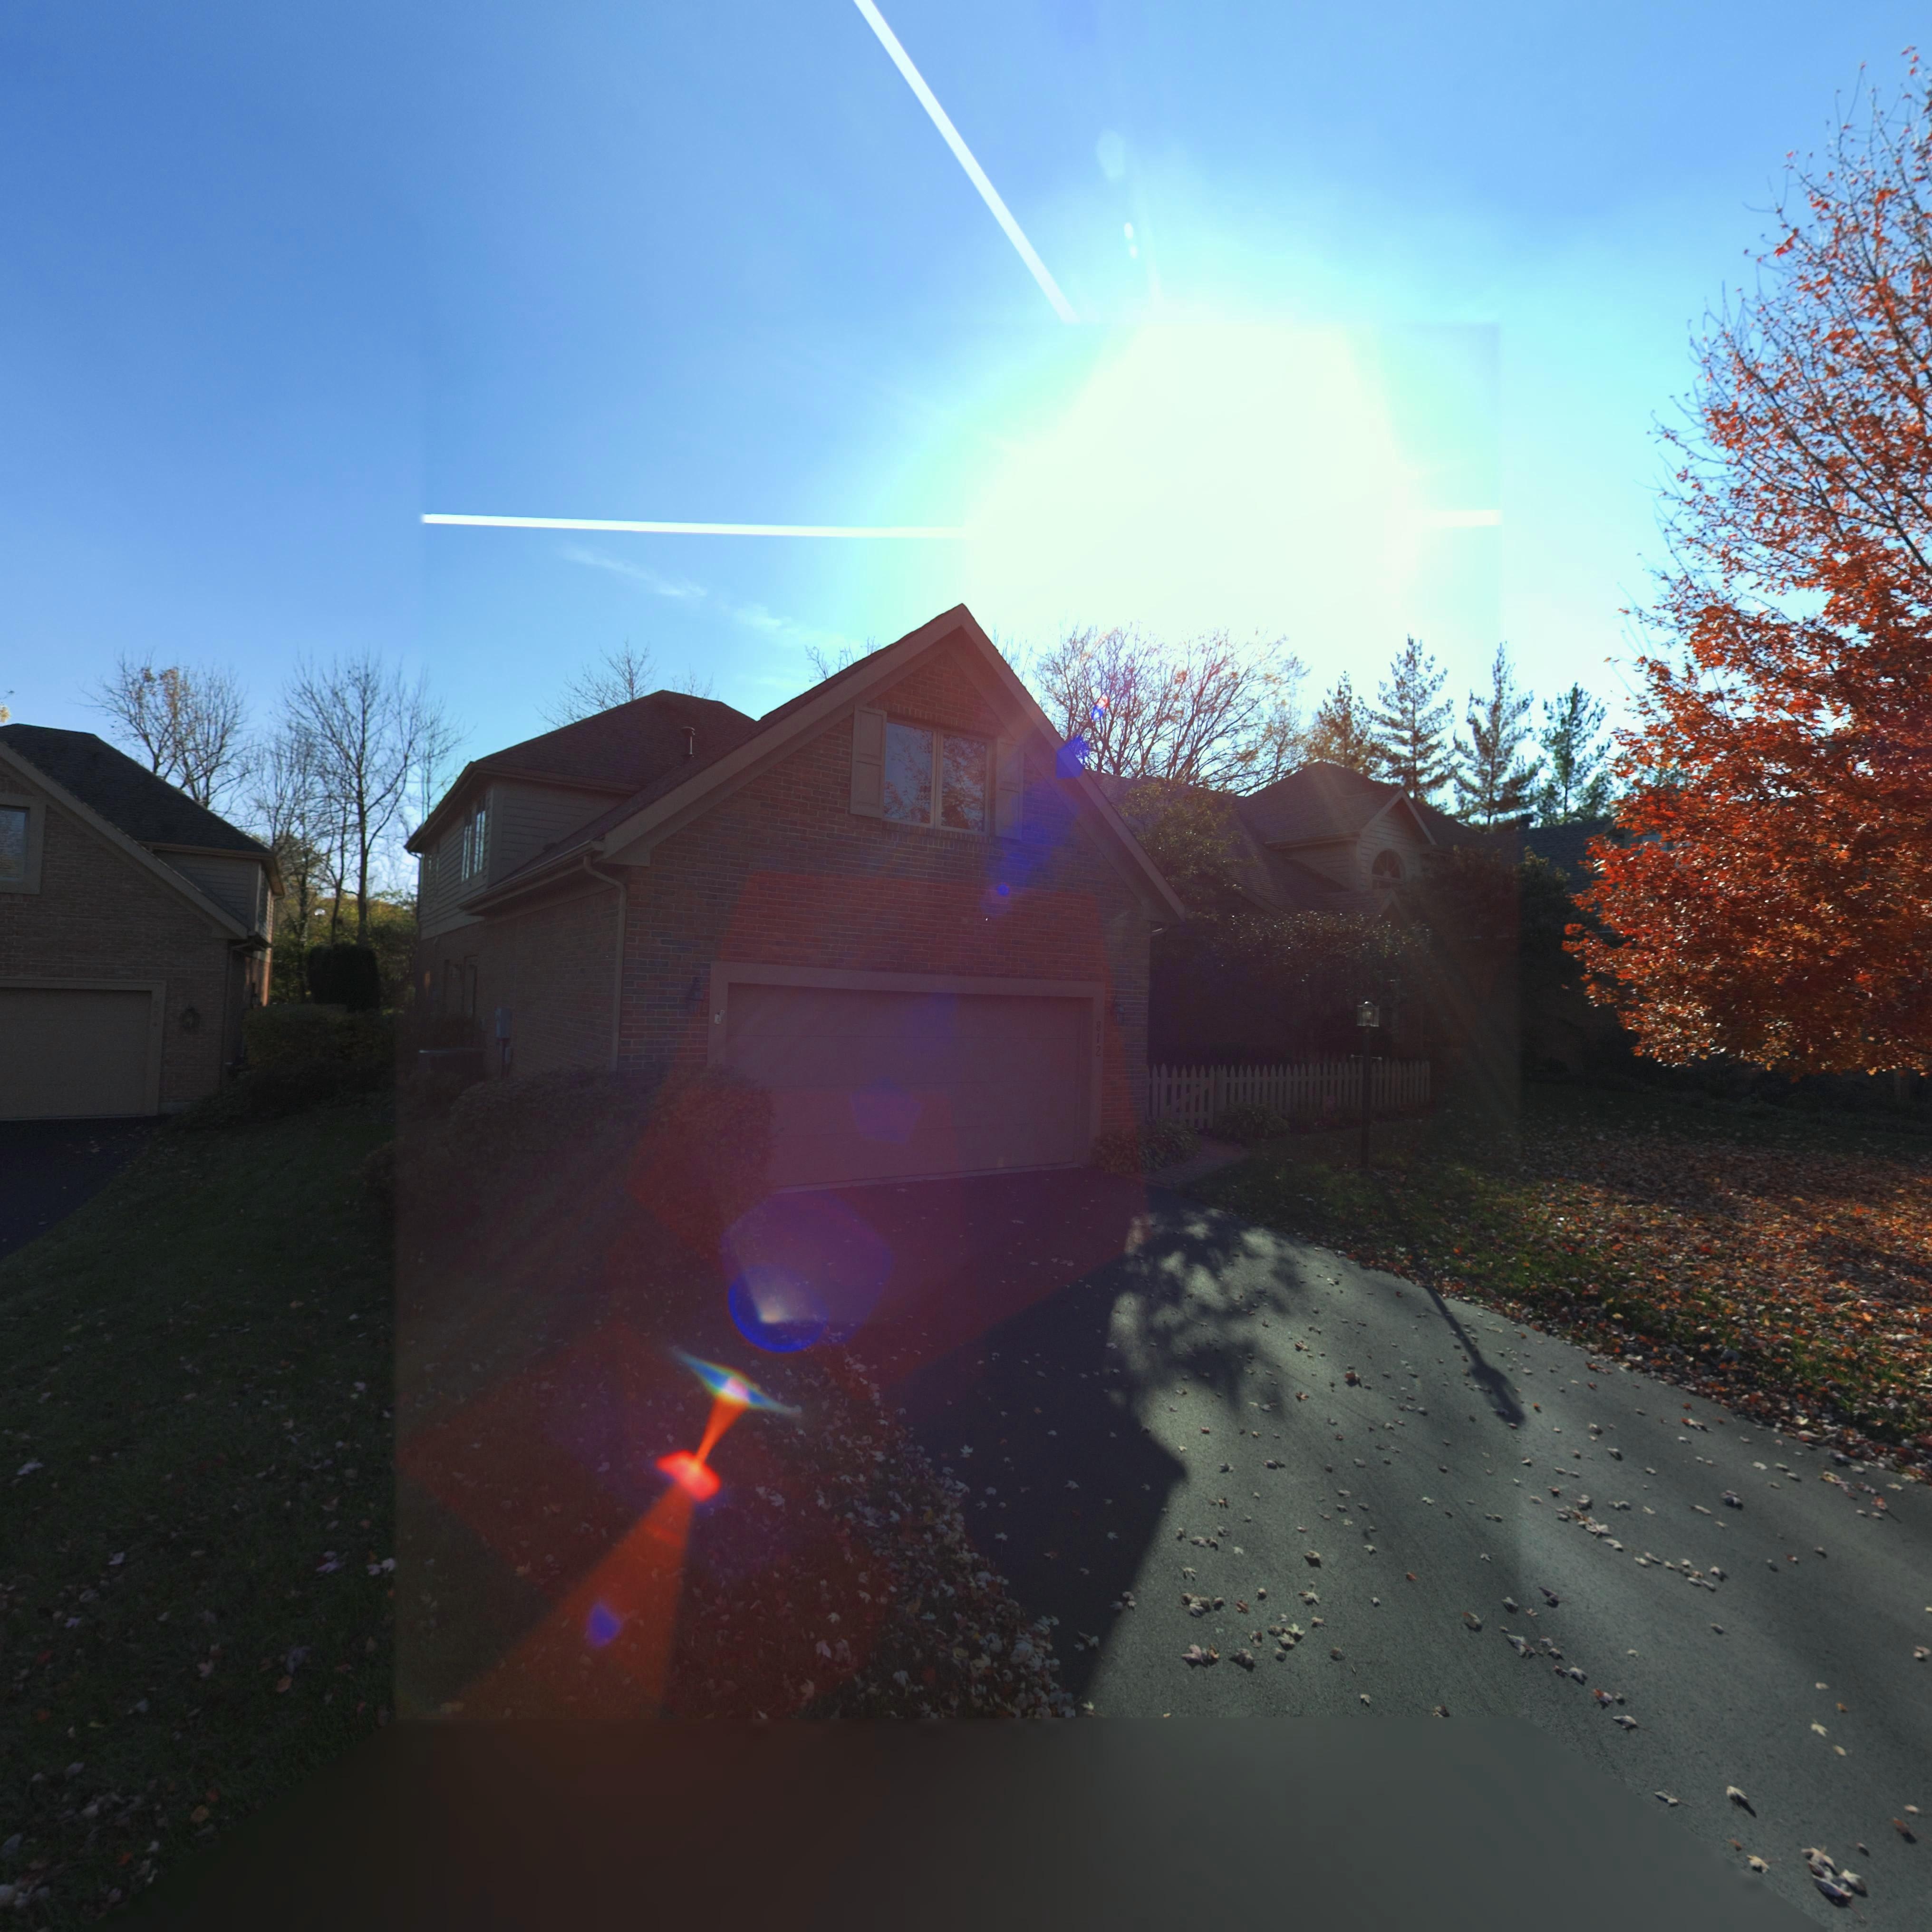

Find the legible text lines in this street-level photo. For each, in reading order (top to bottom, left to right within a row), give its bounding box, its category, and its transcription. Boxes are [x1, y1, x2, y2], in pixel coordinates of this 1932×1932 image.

[1094, 1020, 1102, 1057] StreetNumber: 812